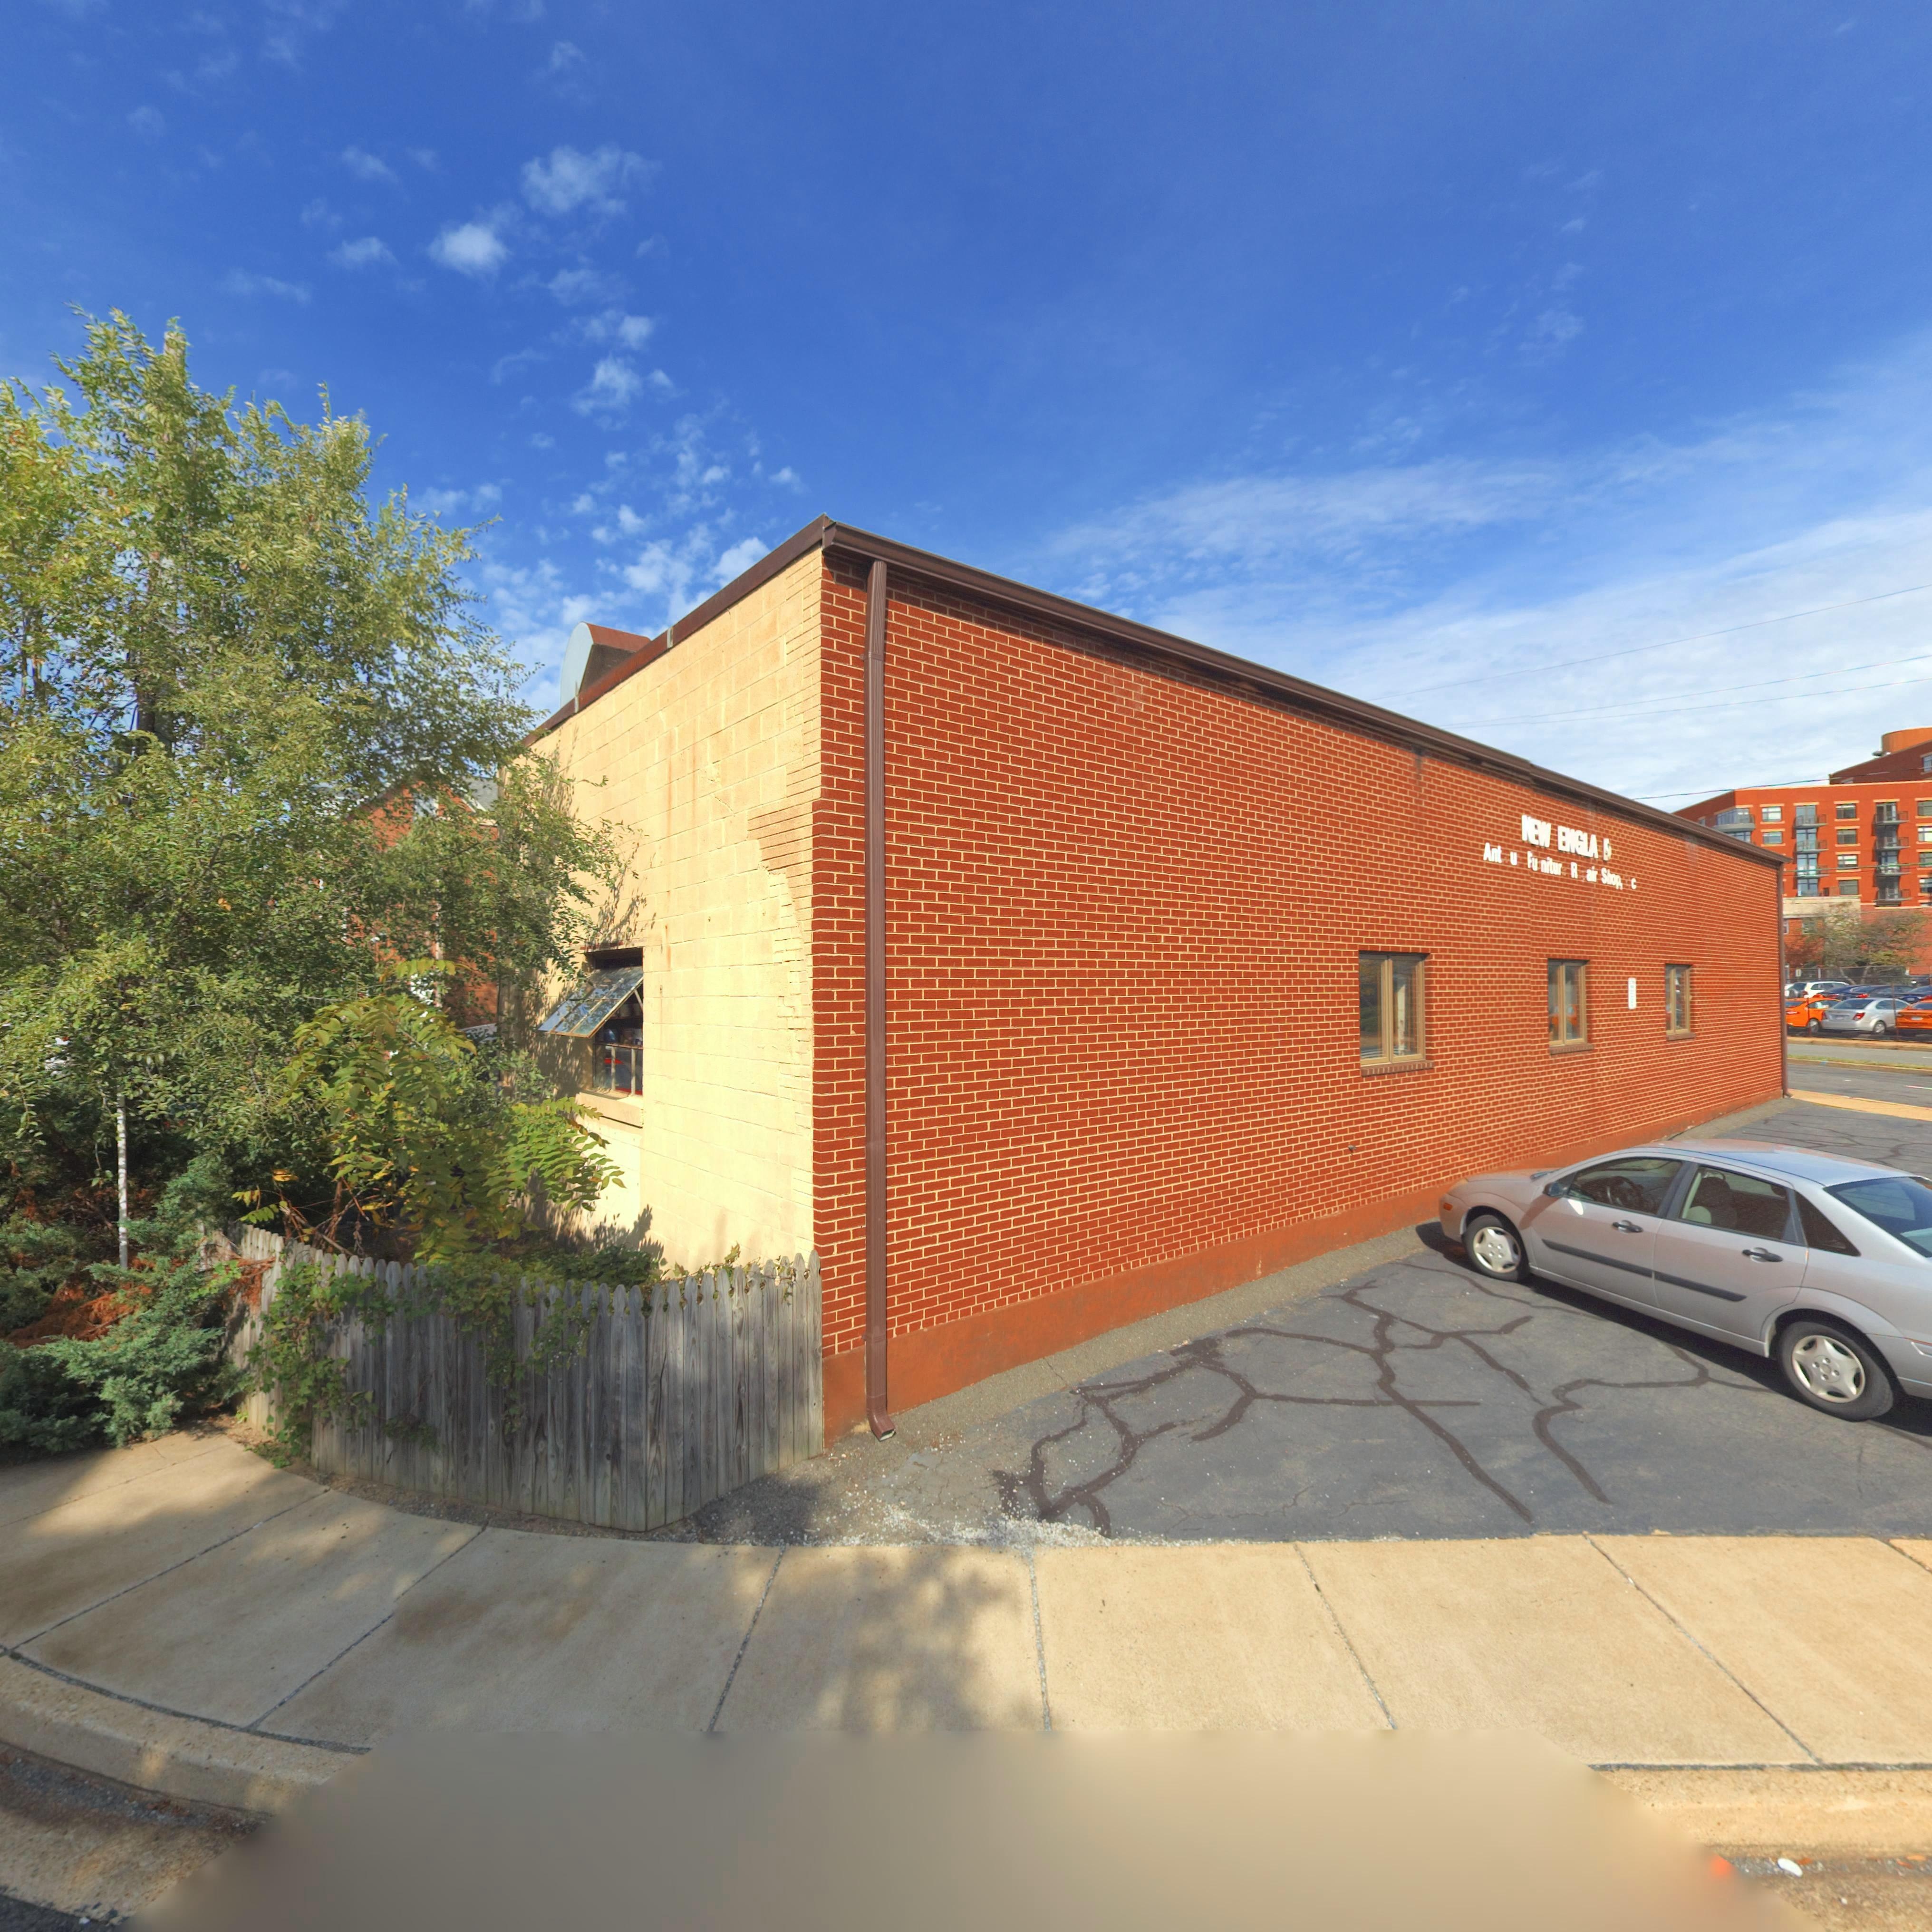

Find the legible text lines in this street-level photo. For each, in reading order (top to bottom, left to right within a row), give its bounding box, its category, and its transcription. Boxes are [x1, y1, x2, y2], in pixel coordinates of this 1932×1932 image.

[1521, 813, 1599, 860] BusinessName: NEW ENGLA
[1482, 840, 1637, 891] BusinessName: Ant u Fu nitur R air Shop c